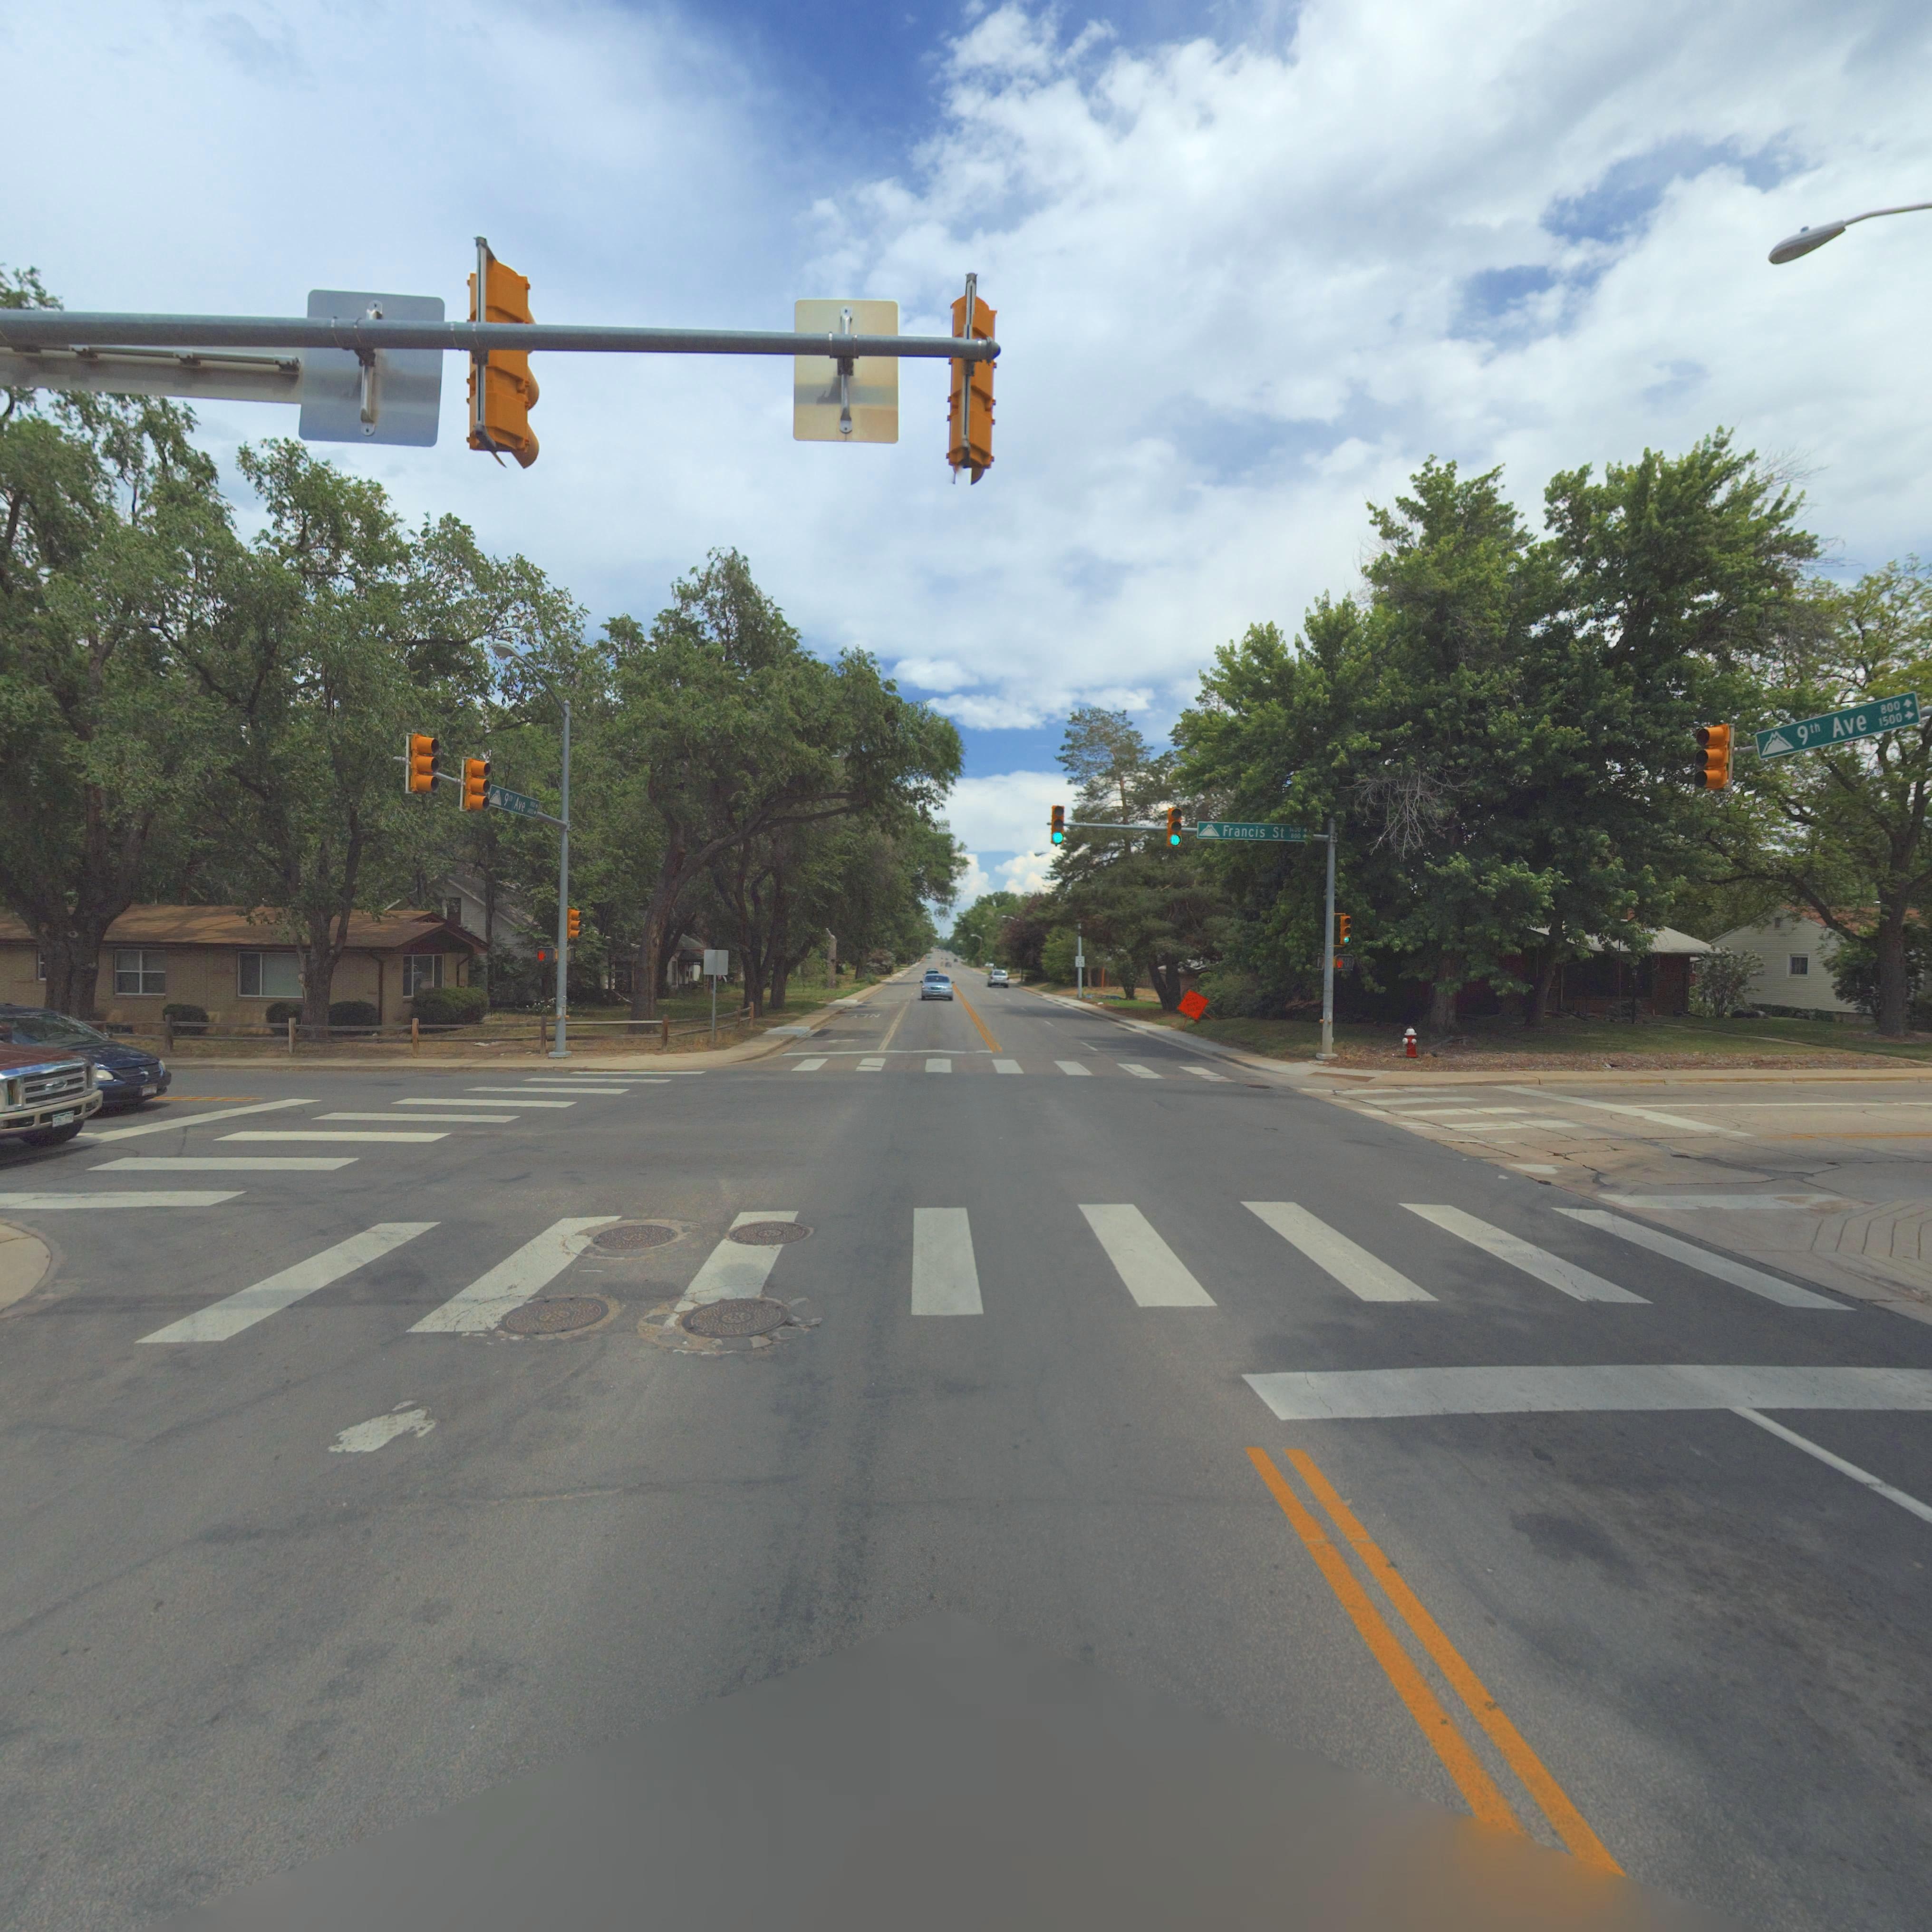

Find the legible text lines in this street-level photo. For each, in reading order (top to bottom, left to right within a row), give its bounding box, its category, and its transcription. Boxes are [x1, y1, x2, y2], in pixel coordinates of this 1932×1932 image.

[1880, 700, 1900, 714] StreetNumber: 800
[1878, 710, 1915, 727] StreetNumberRange: 1500->
[1796, 714, 1867, 746] StreetName: 9th Ave
[503, 792, 525, 812] StreetName: 9th Ave
[529, 801, 535, 808] StreetNumberRange: 9*0
[526, 807, 536, 815] StreetNumberRange: 1*00->
[1223, 824, 1285, 838] StreetName: Francis St
[1289, 827, 1301, 832] StreetNumber: 1*00
[1290, 832, 1307, 839] StreetNumberRange: 800->